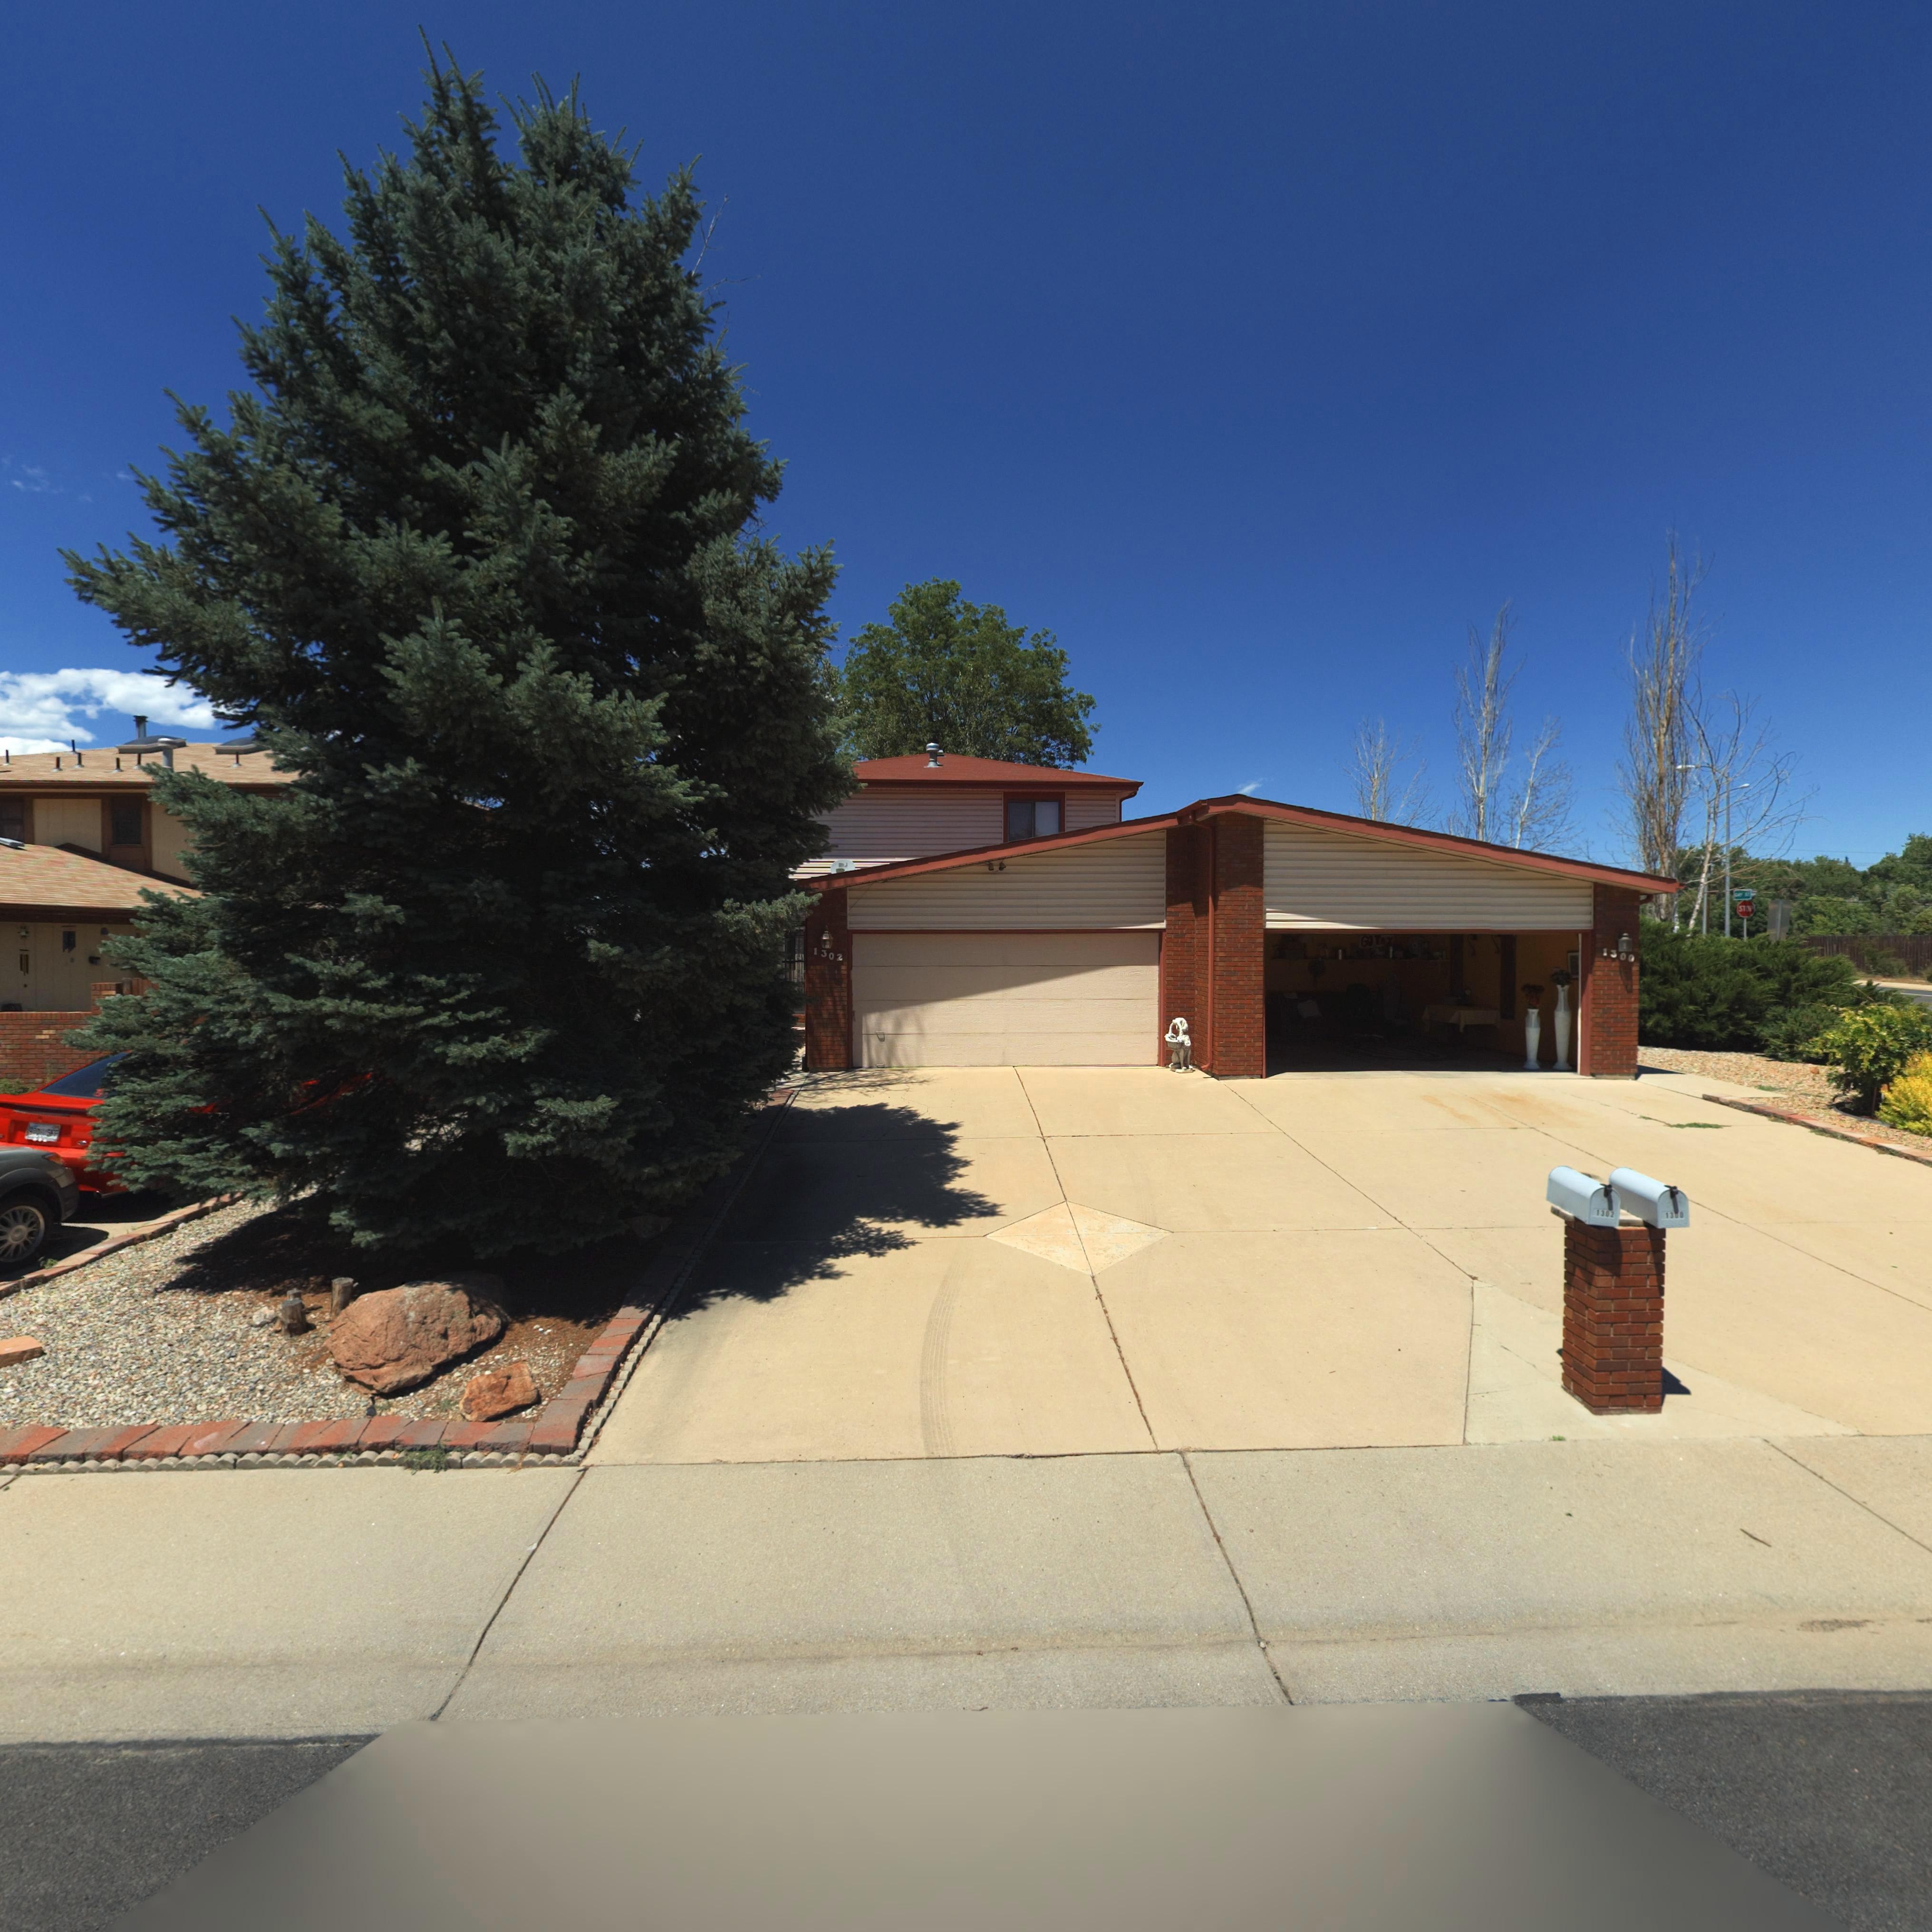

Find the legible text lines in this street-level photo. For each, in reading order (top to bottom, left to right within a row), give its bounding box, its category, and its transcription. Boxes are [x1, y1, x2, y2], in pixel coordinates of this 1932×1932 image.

[813, 946, 842, 961] StreetNumber: 1302
[1602, 947, 1635, 963] StreetNumber: 1300
[1596, 1208, 1614, 1218] StreetNumber: 1302
[1664, 1211, 1684, 1219] StreetNumber: 1300